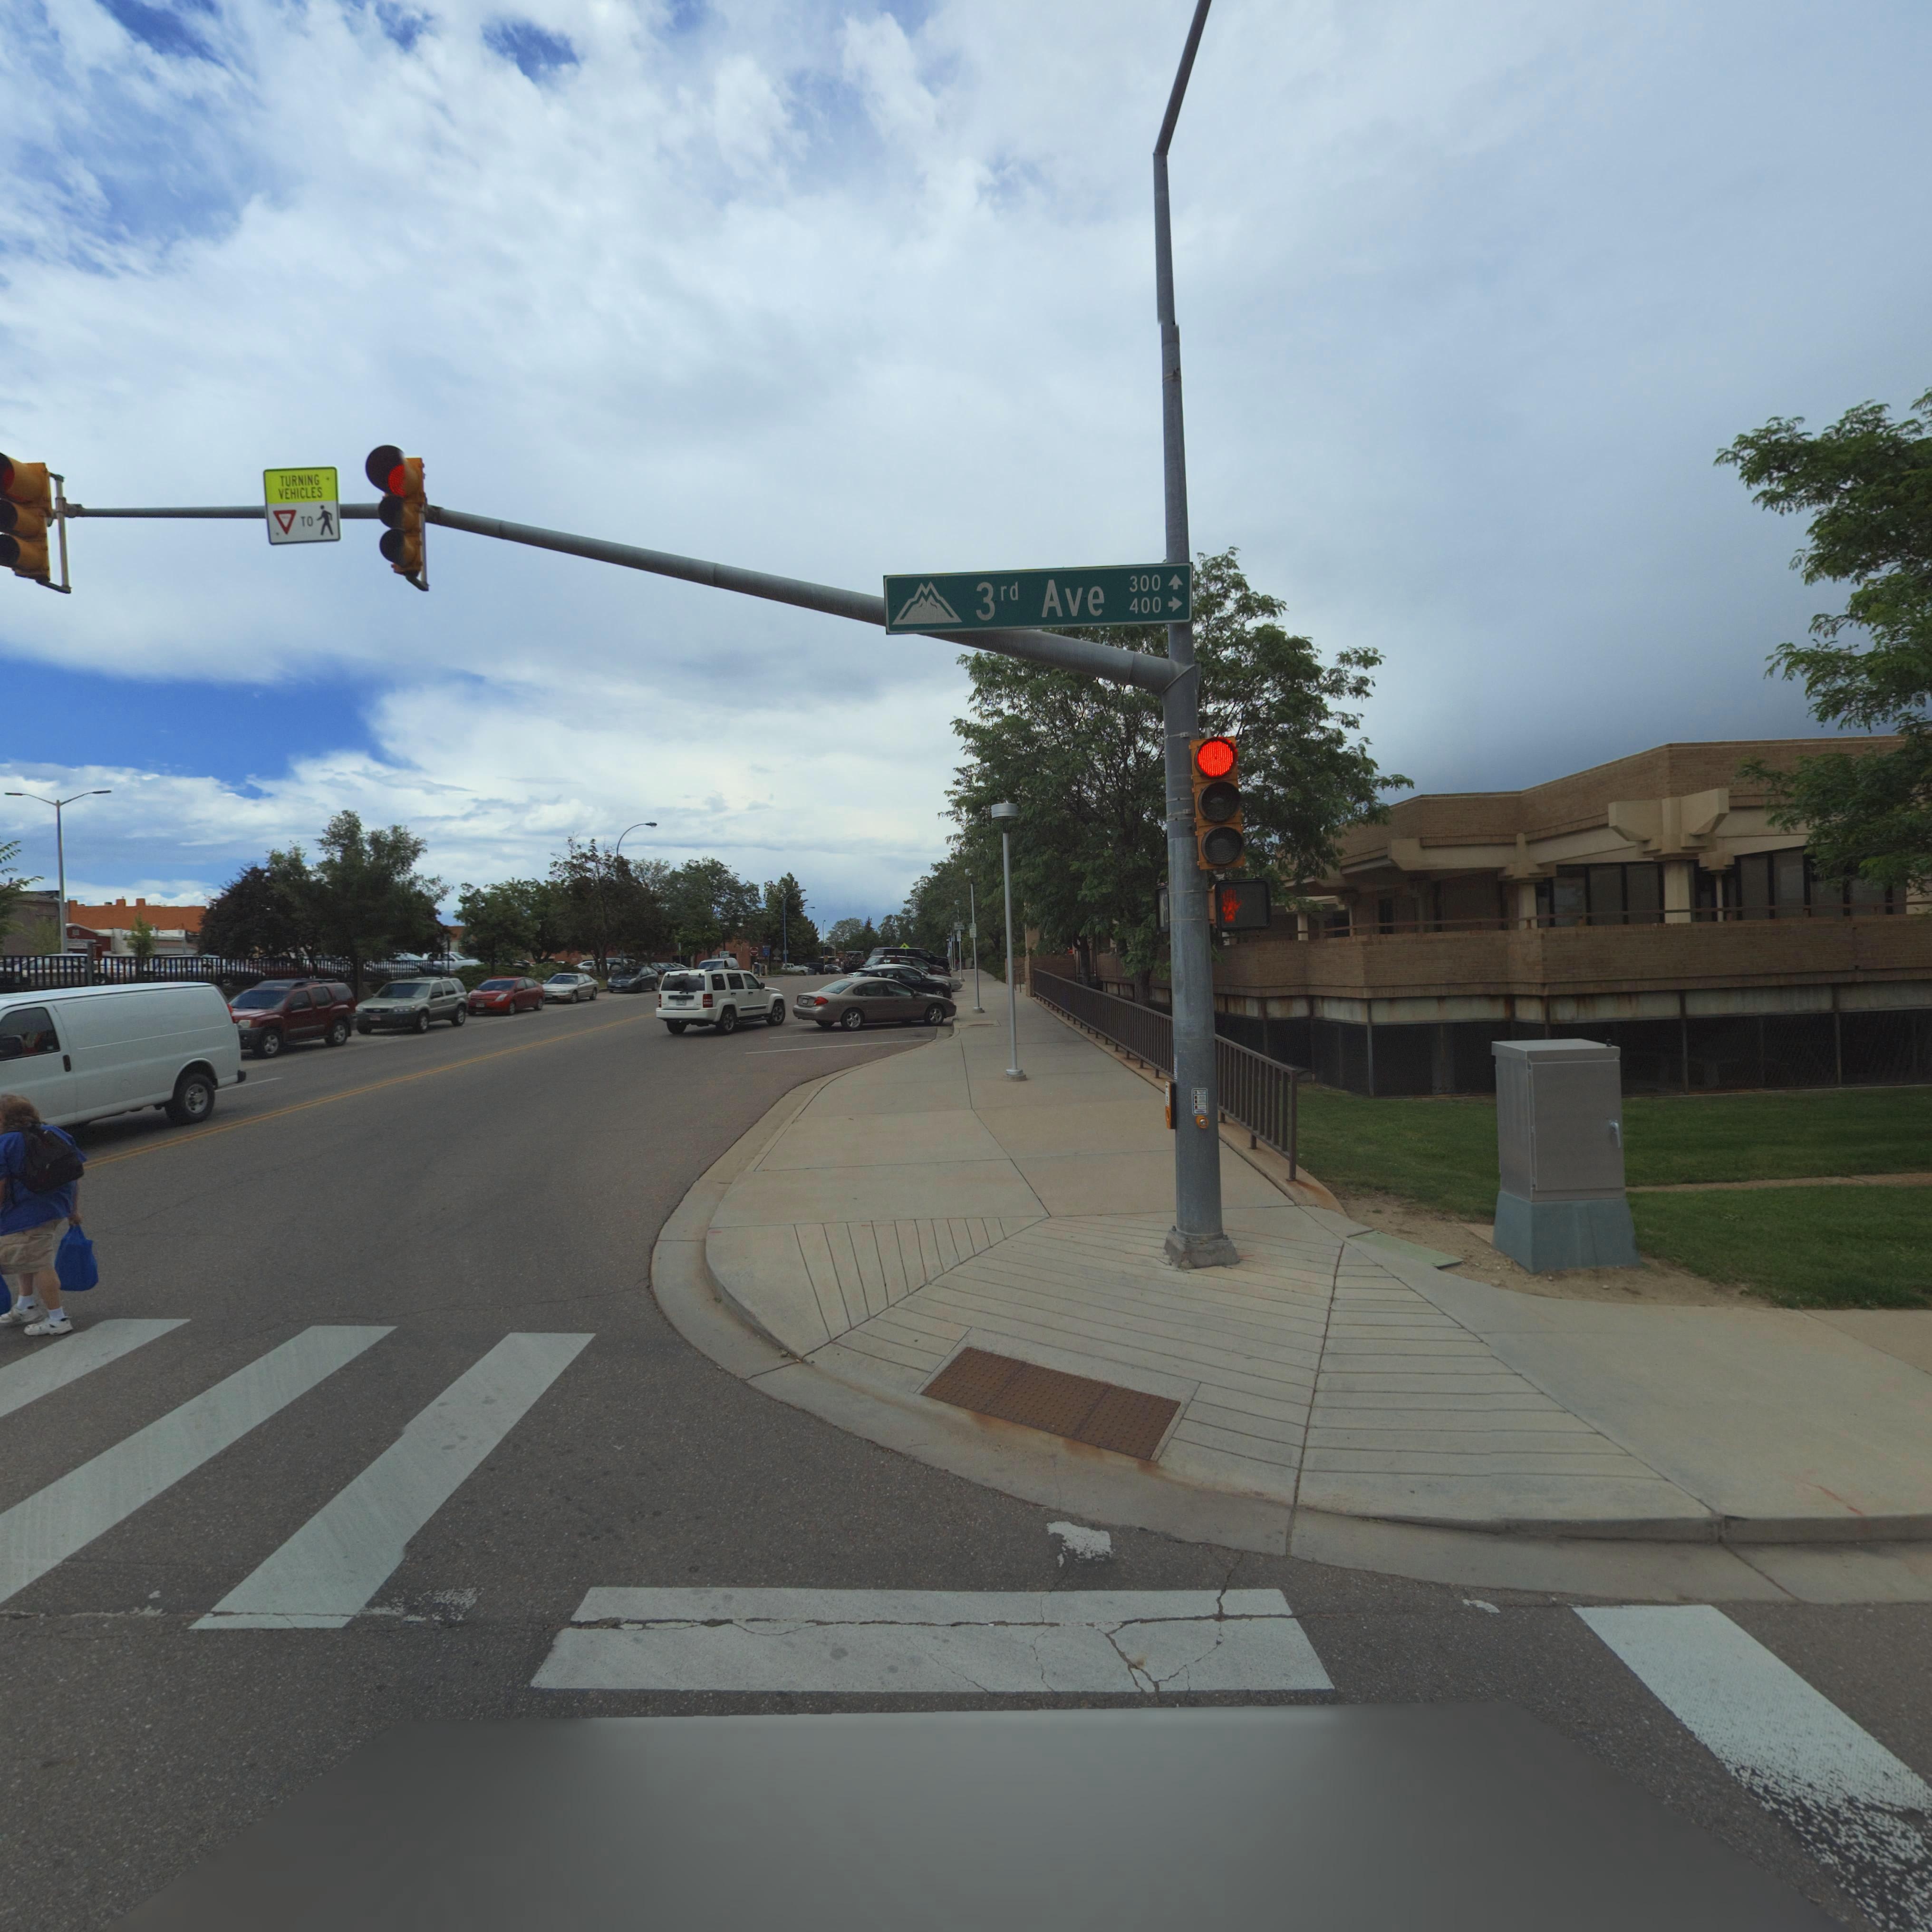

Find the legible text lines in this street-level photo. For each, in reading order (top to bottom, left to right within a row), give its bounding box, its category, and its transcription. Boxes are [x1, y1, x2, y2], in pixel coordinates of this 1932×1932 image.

[1129, 574, 1160, 592] StreetNumberRange: 300
[976, 579, 1105, 620] StreetName: 3rd Ave
[1128, 596, 1183, 614] StreetNumberRange: 400->